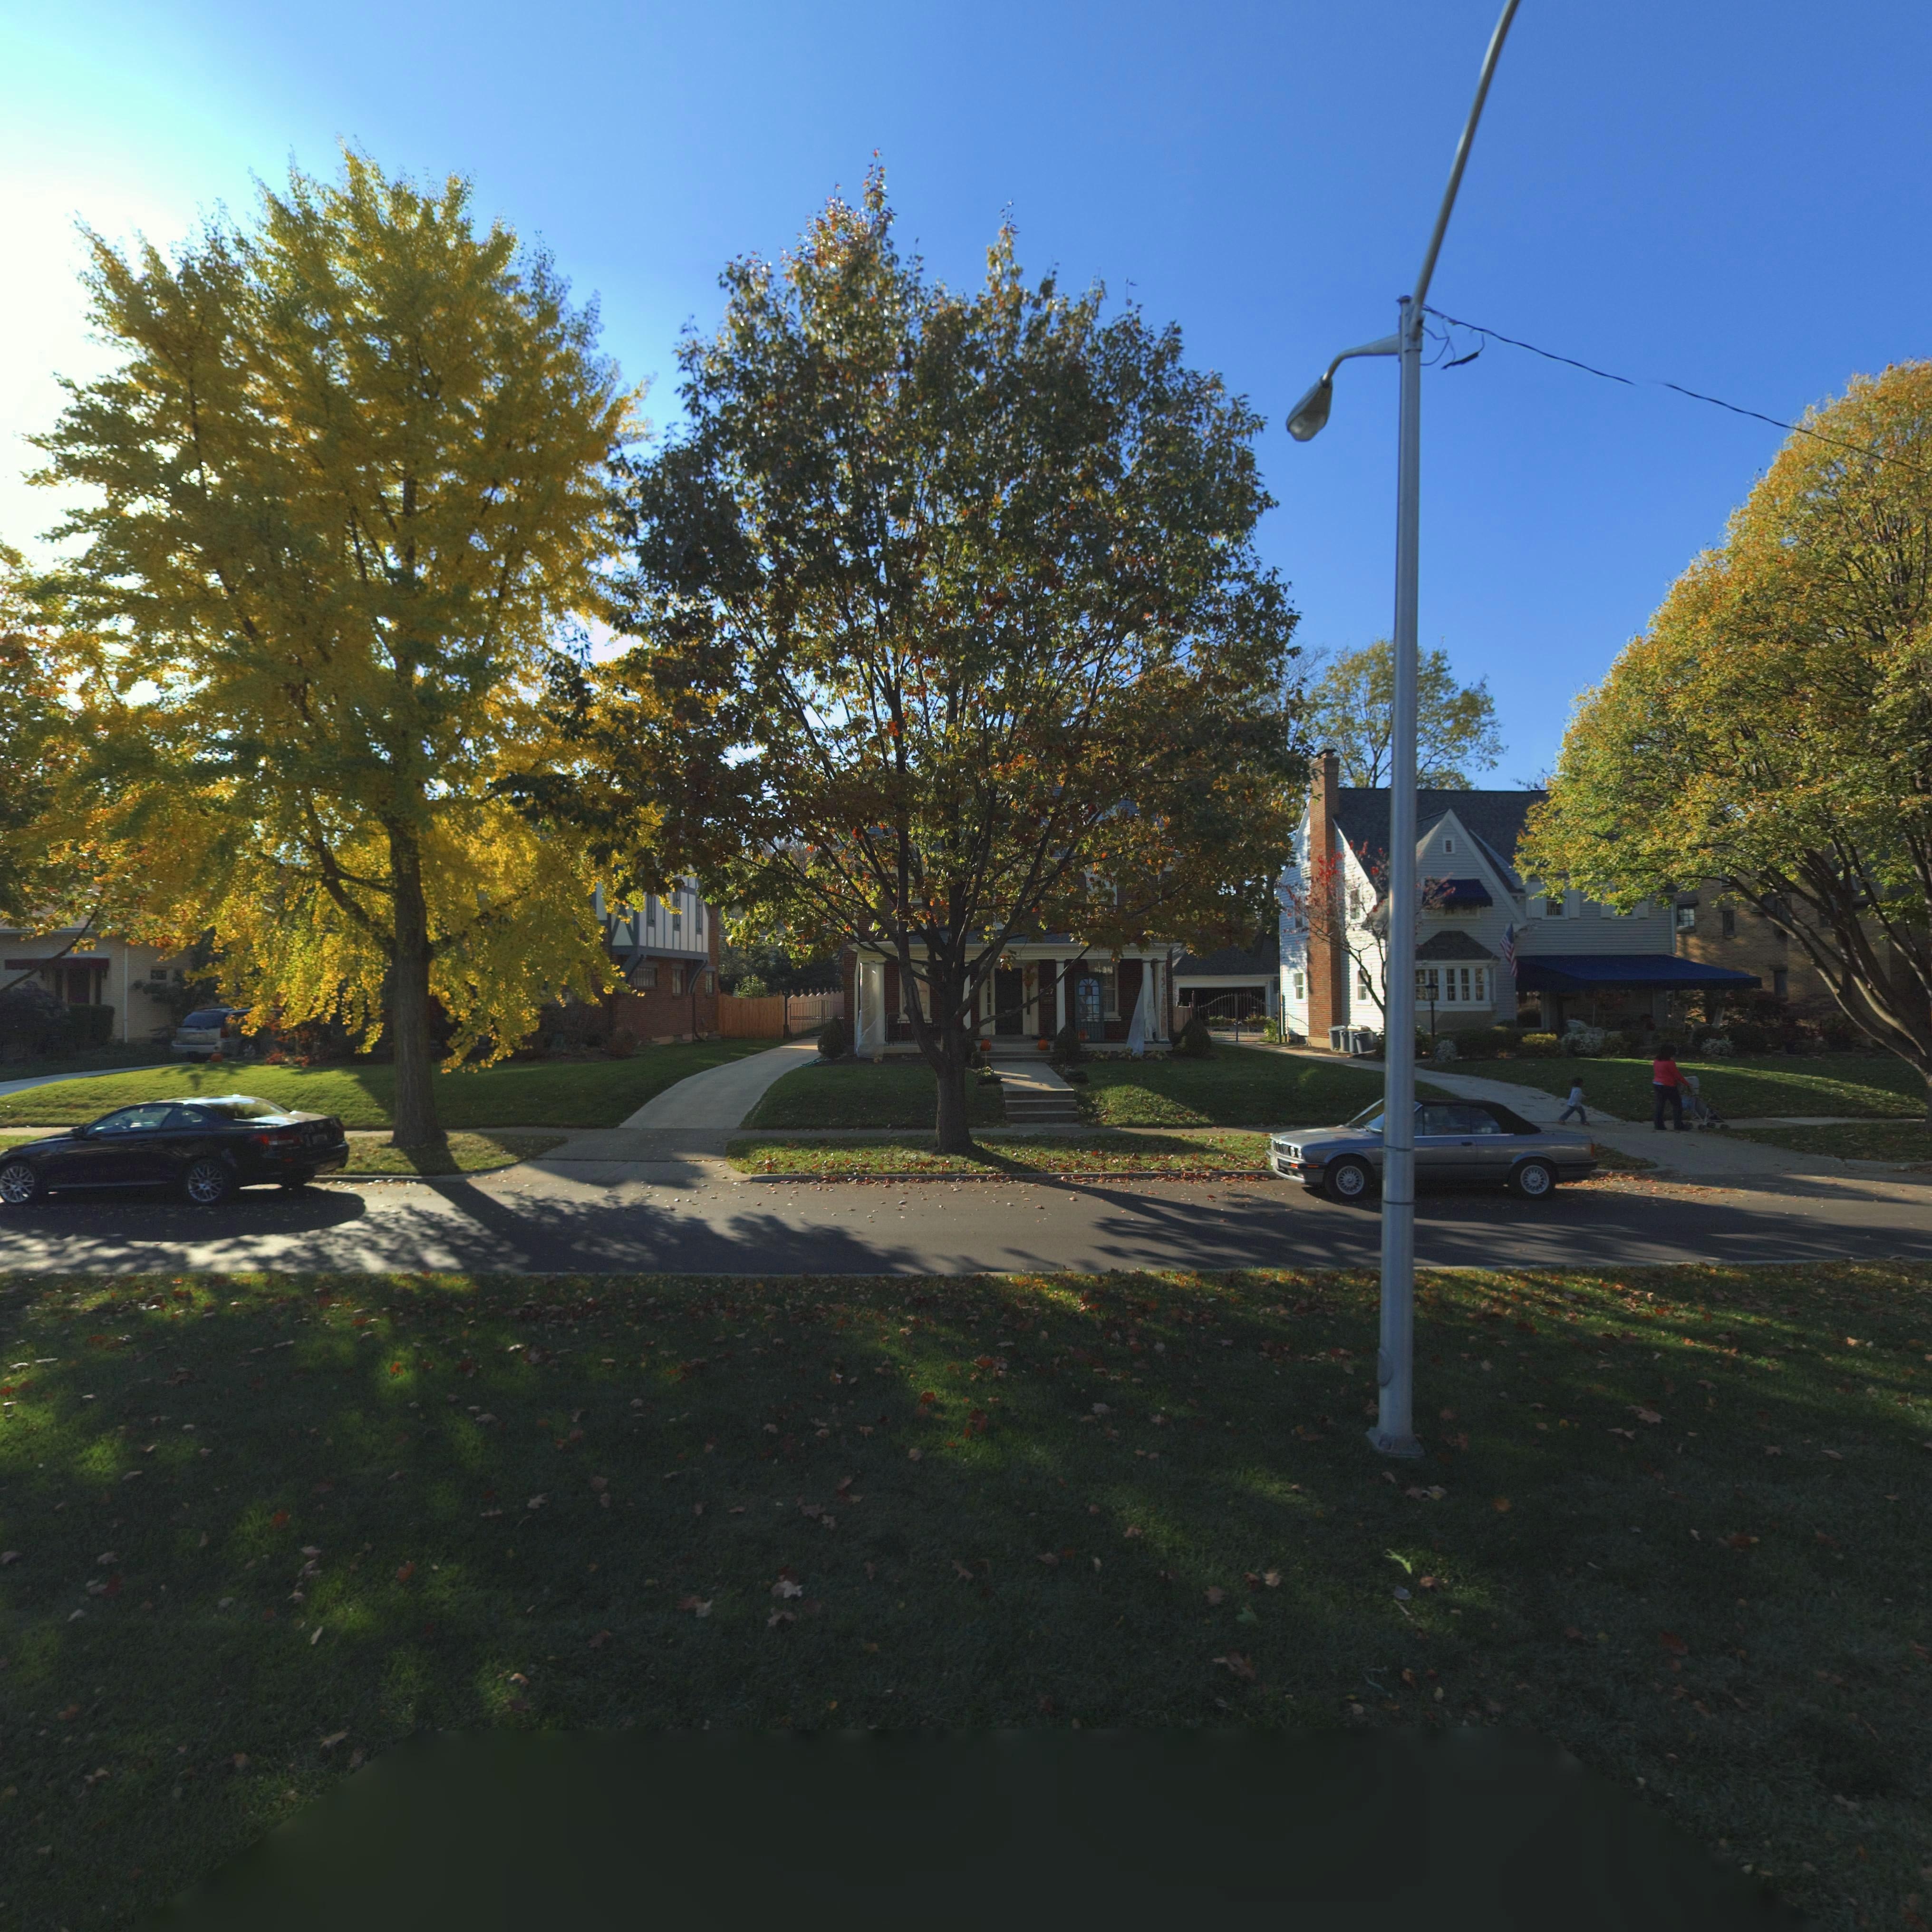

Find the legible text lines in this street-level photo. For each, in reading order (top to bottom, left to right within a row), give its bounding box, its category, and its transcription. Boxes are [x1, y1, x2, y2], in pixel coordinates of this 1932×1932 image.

[1049, 988, 1055, 995] StreetNumber: 7